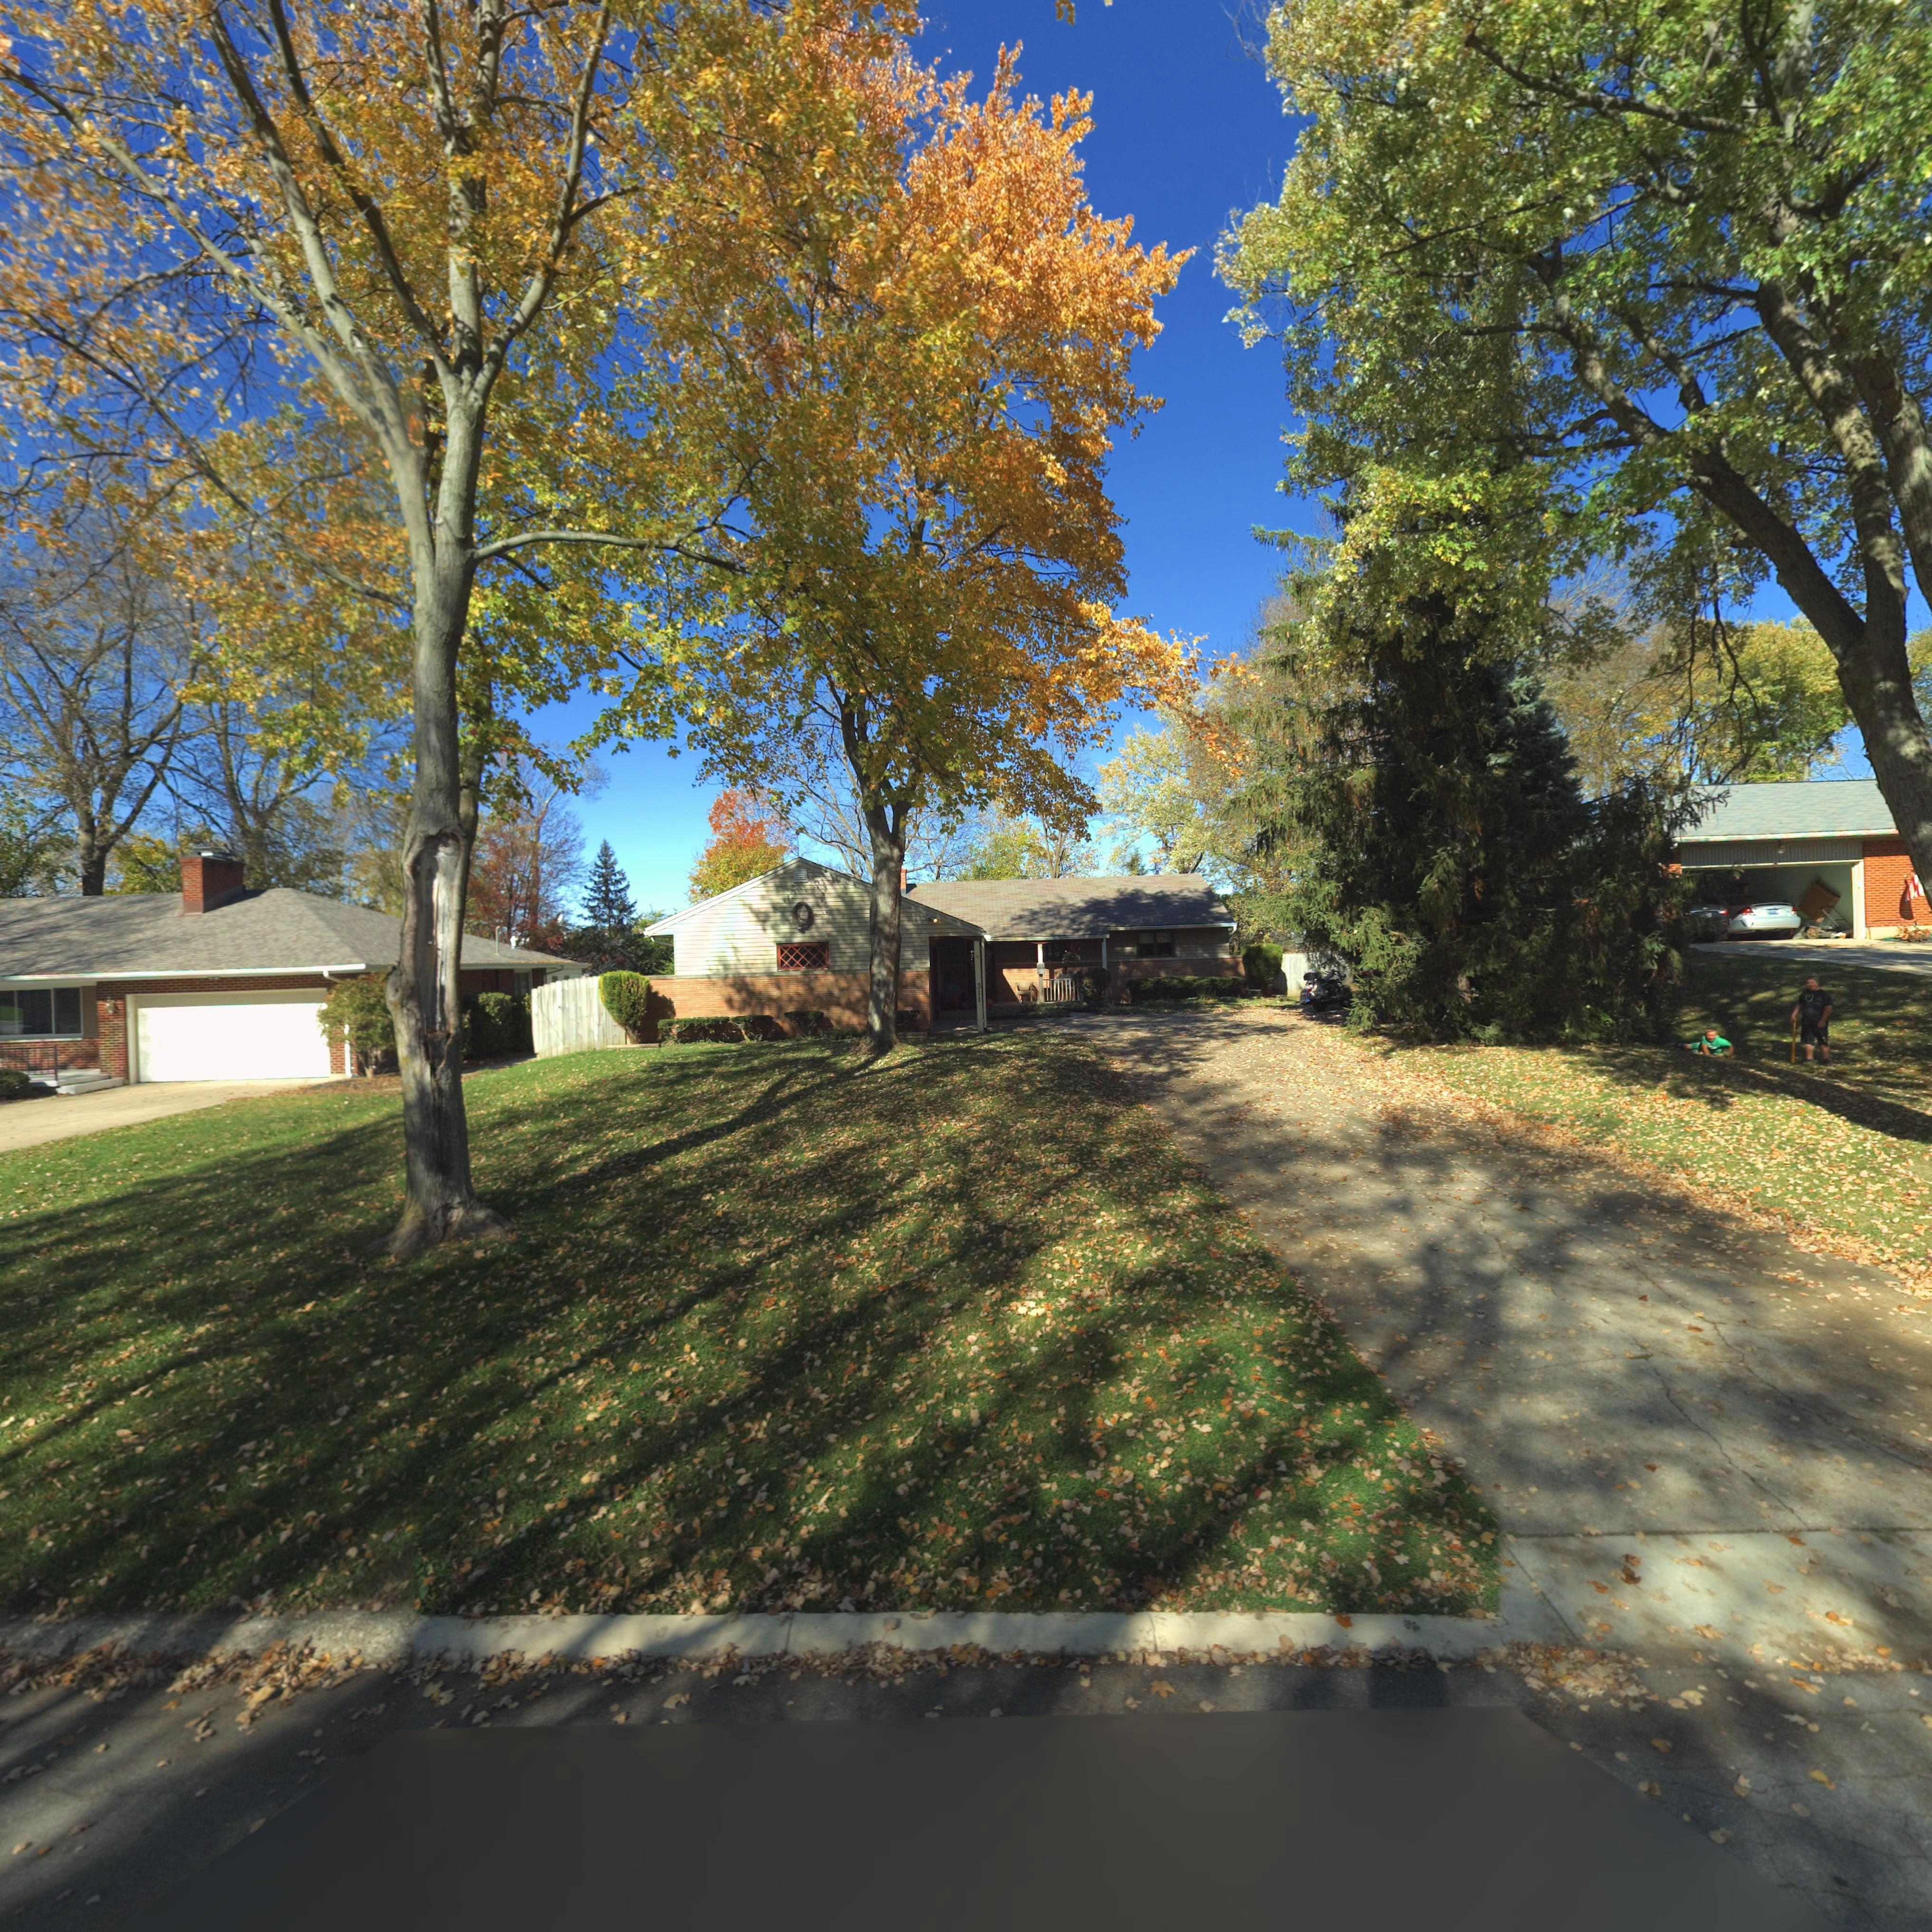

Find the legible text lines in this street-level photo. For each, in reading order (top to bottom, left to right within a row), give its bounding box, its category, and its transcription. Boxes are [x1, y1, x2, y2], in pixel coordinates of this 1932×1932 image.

[976, 982, 982, 1004] StreetNumber: 311